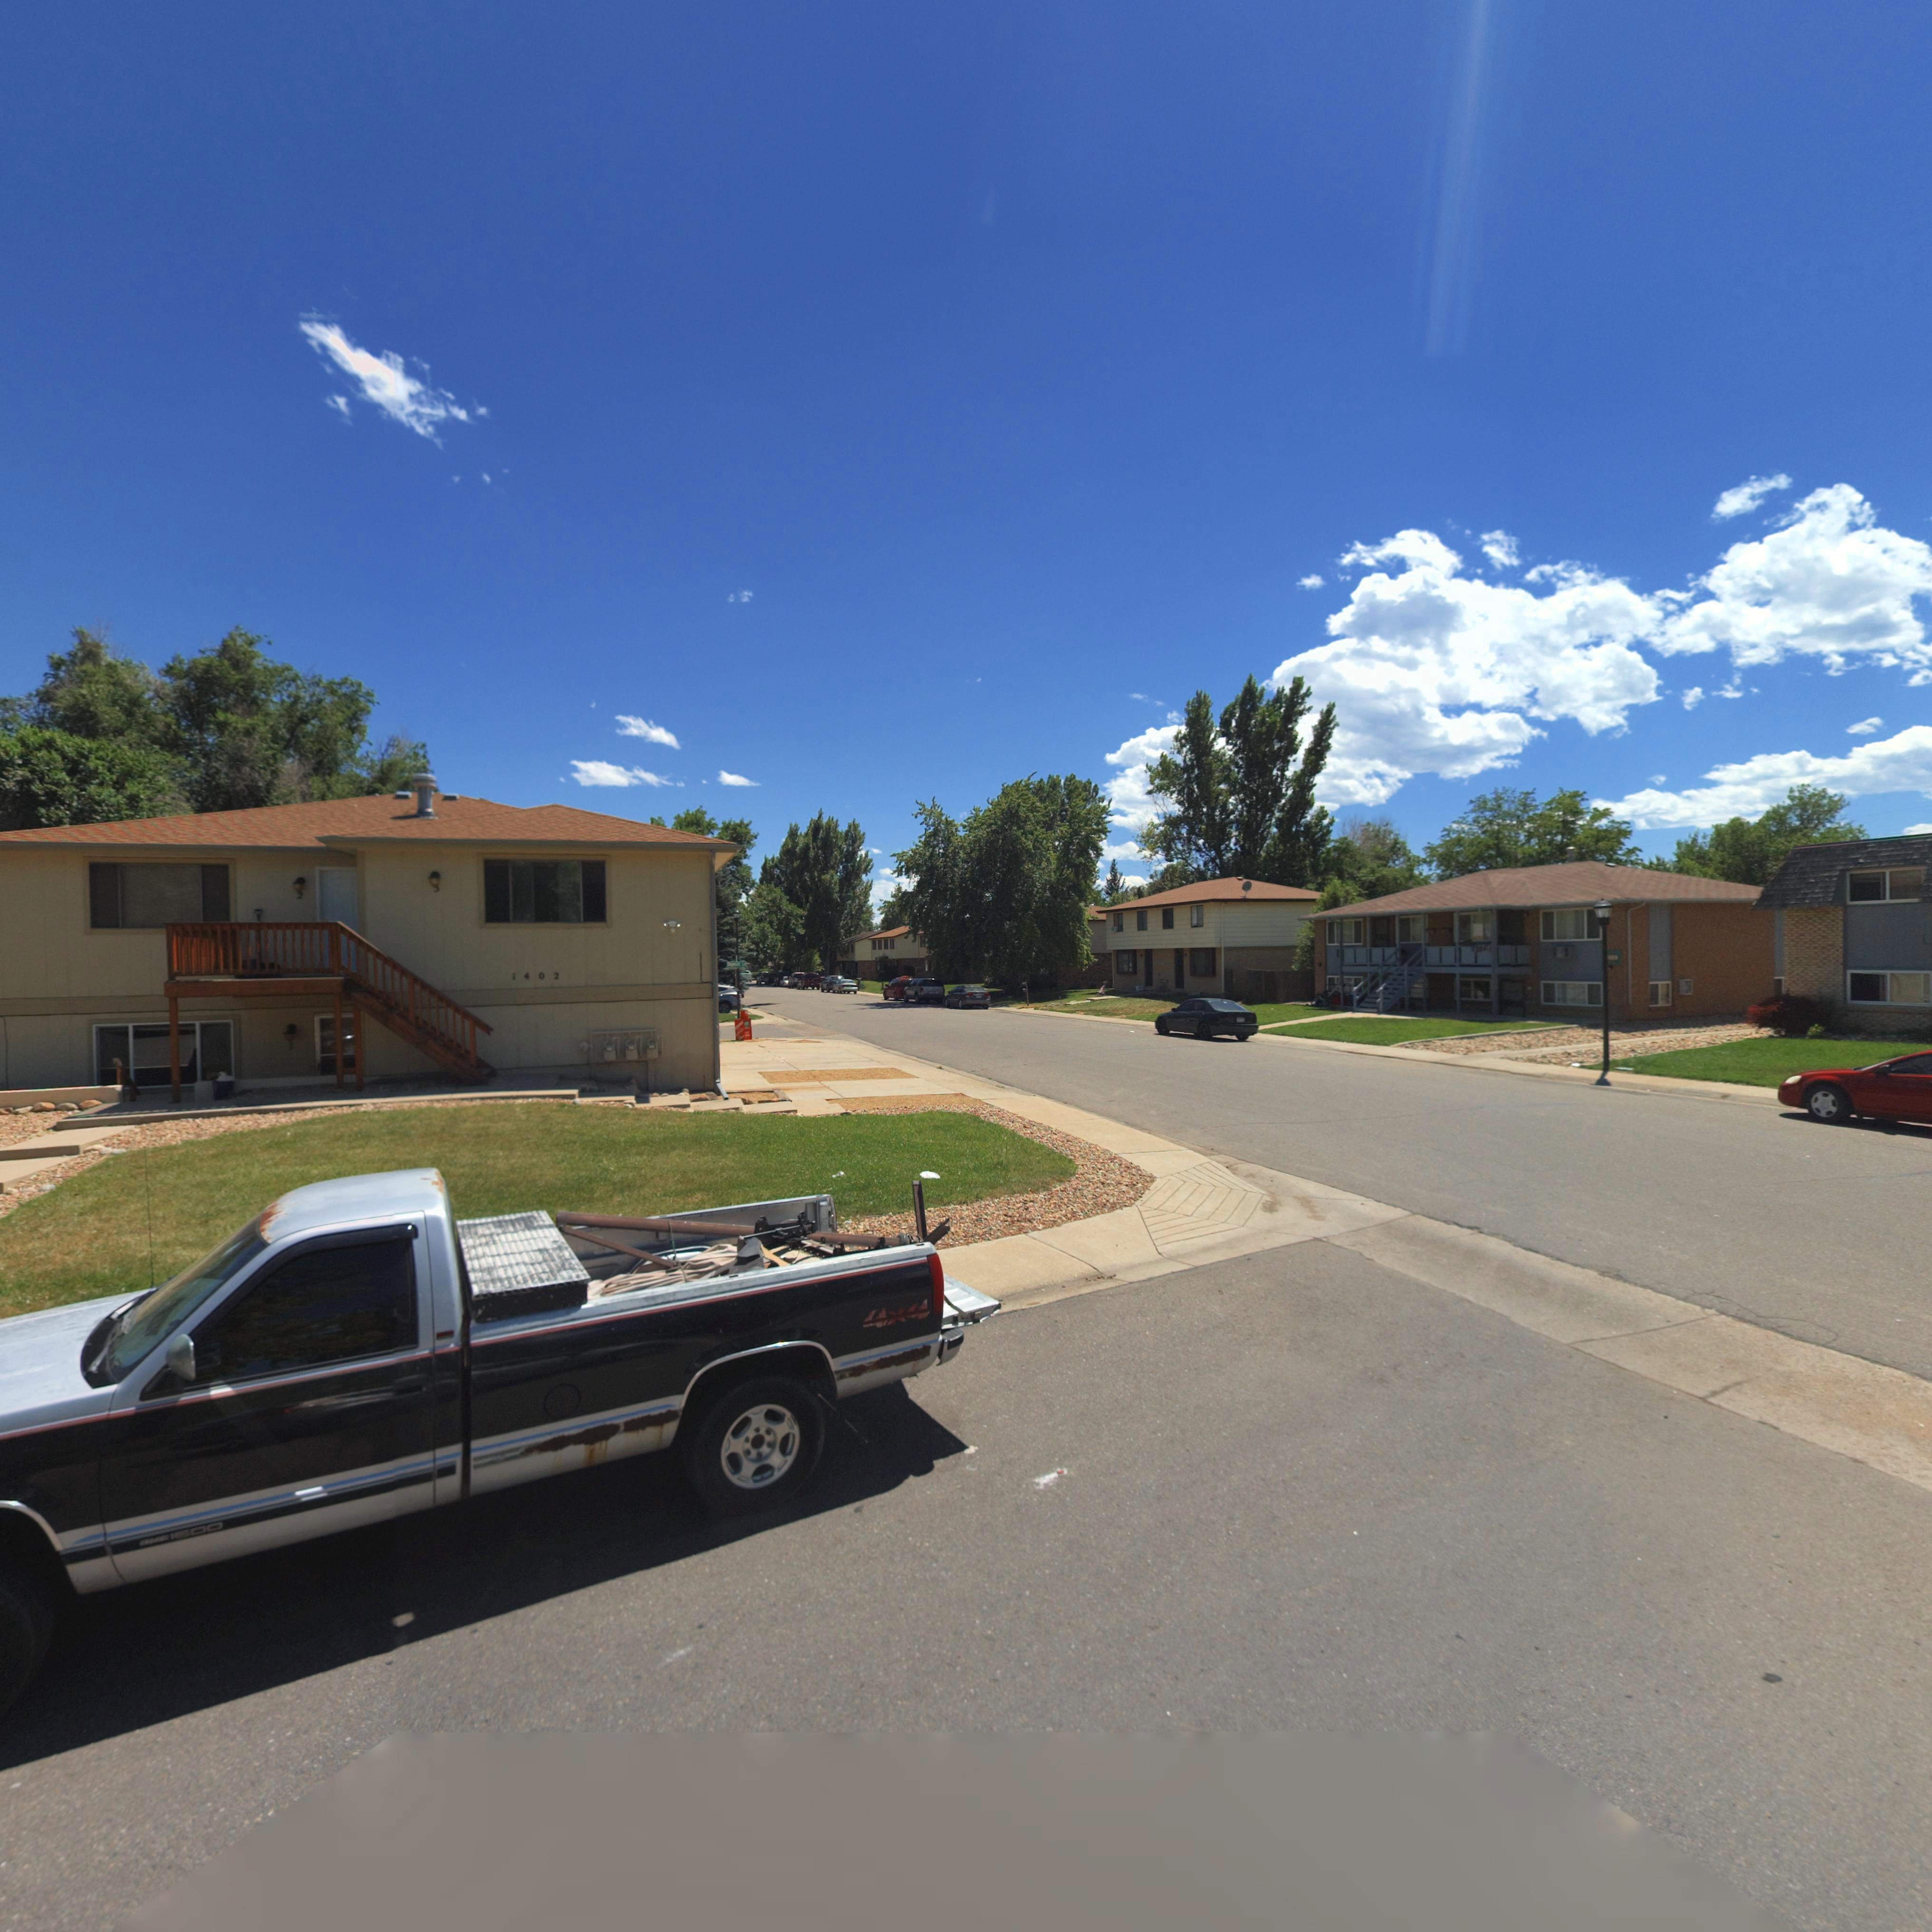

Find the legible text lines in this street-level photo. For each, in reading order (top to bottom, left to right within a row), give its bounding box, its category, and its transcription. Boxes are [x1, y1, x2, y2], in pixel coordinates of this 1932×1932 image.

[726, 961, 746, 968] StreetName: Dogwood Ln
[512, 971, 560, 980] StreetNumber: 1402